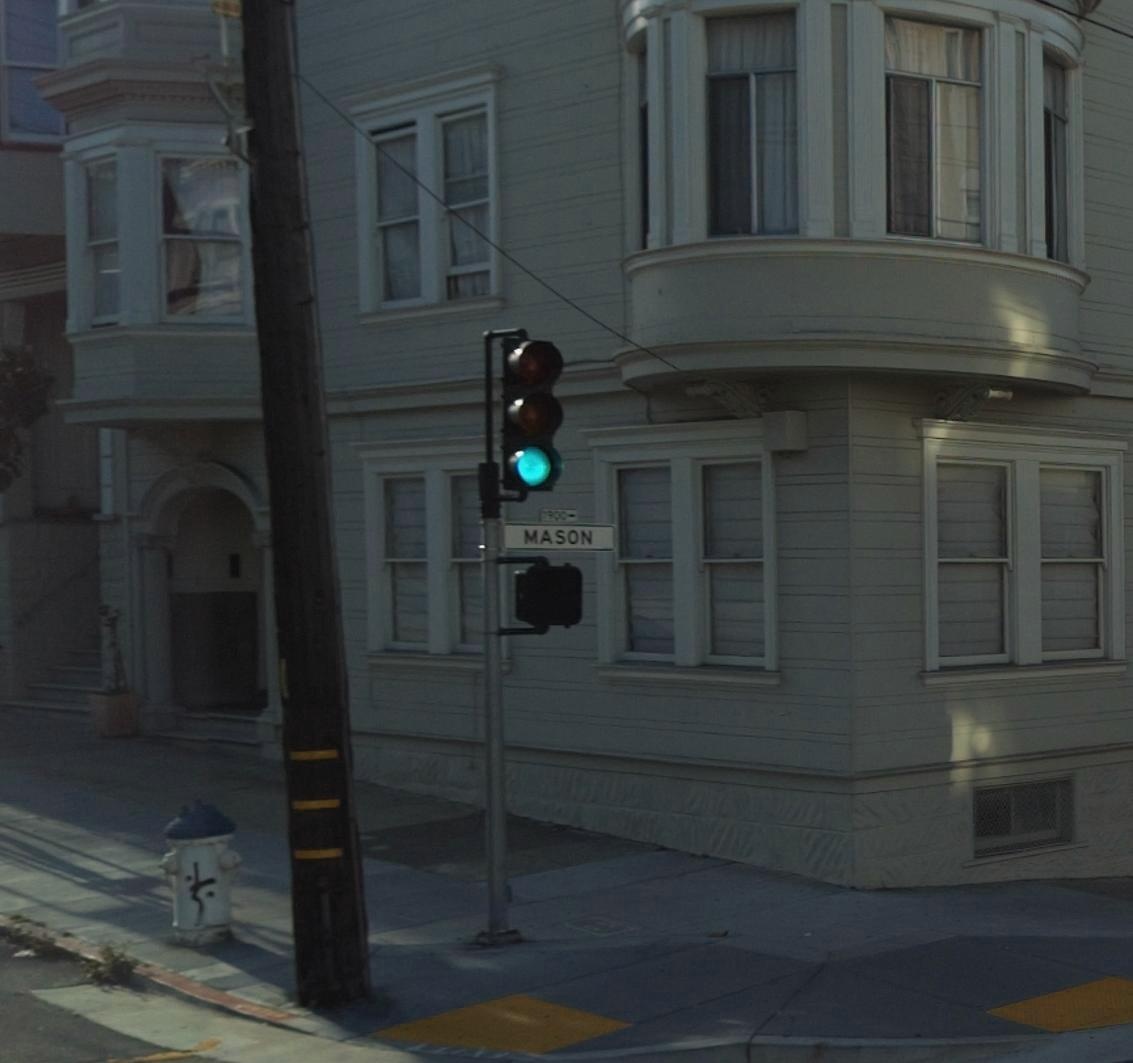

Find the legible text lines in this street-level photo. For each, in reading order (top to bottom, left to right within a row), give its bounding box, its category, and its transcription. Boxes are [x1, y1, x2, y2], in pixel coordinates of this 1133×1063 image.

[538, 508, 579, 524] StreetNumberRange: 1900->
[521, 526, 595, 547] StreetName: MASON